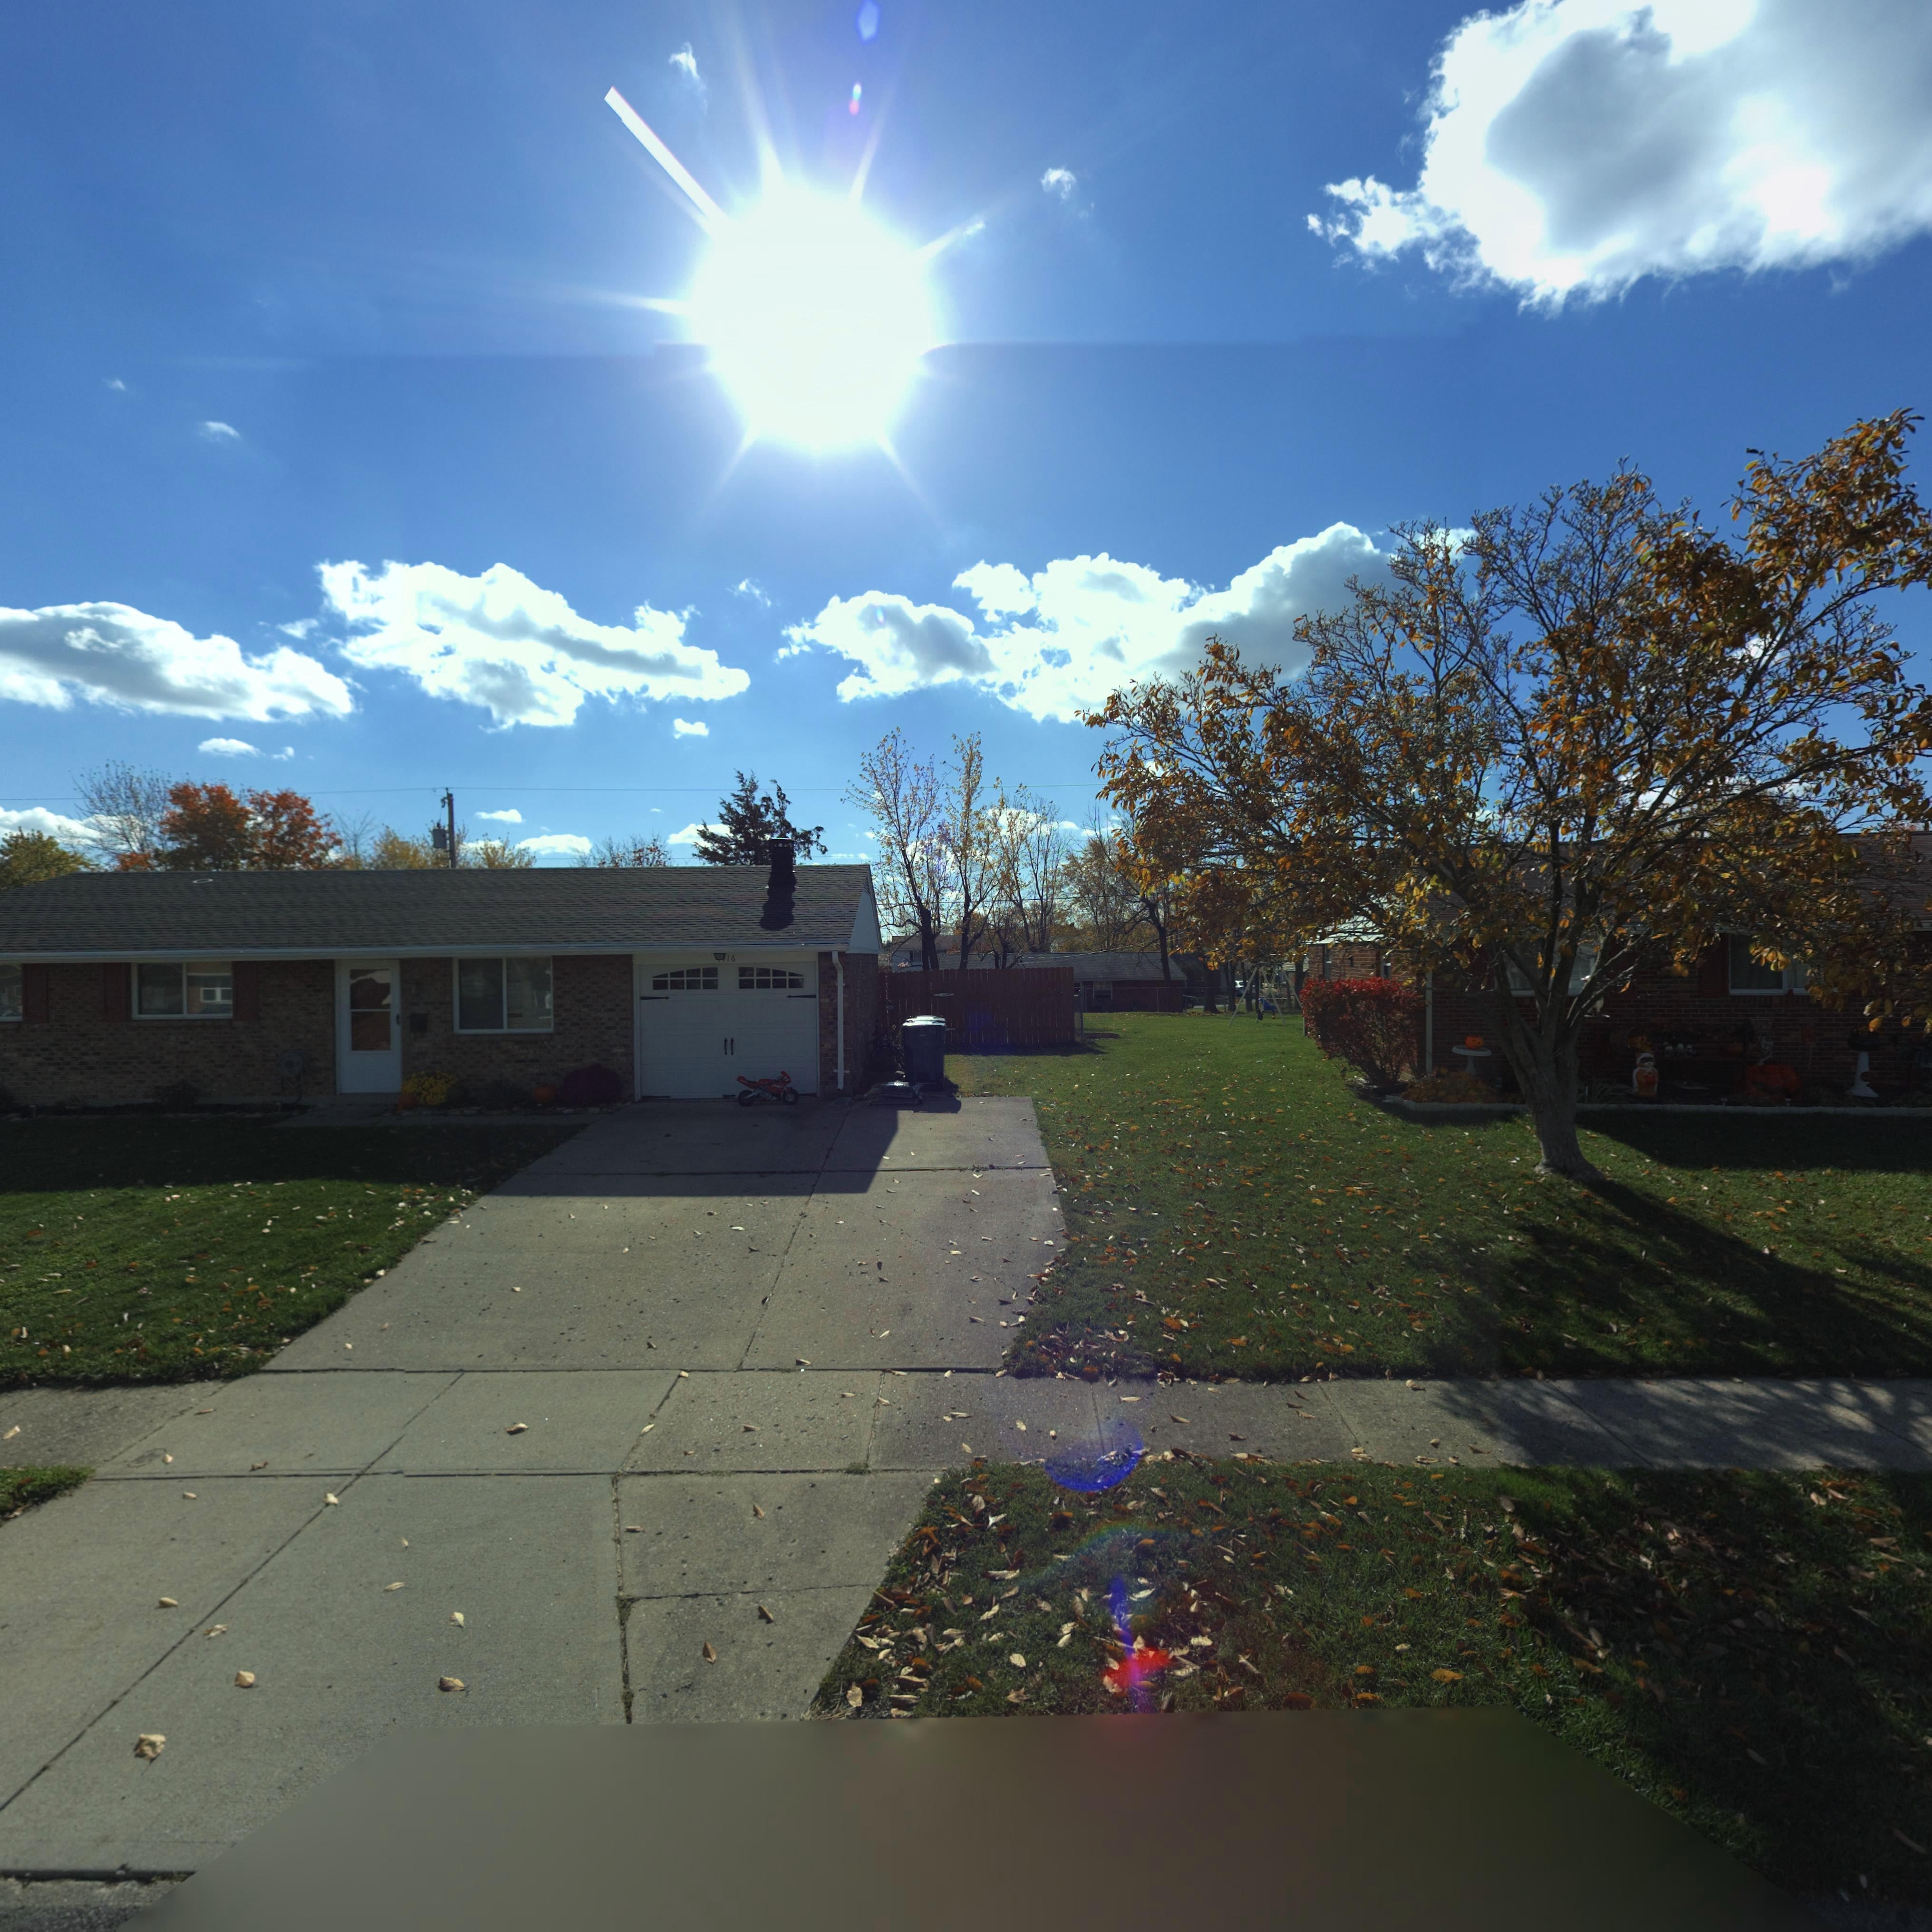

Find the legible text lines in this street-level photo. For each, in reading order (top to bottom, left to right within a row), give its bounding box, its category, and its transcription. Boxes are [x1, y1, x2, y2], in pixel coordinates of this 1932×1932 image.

[726, 954, 737, 963] StreetNumber: 16